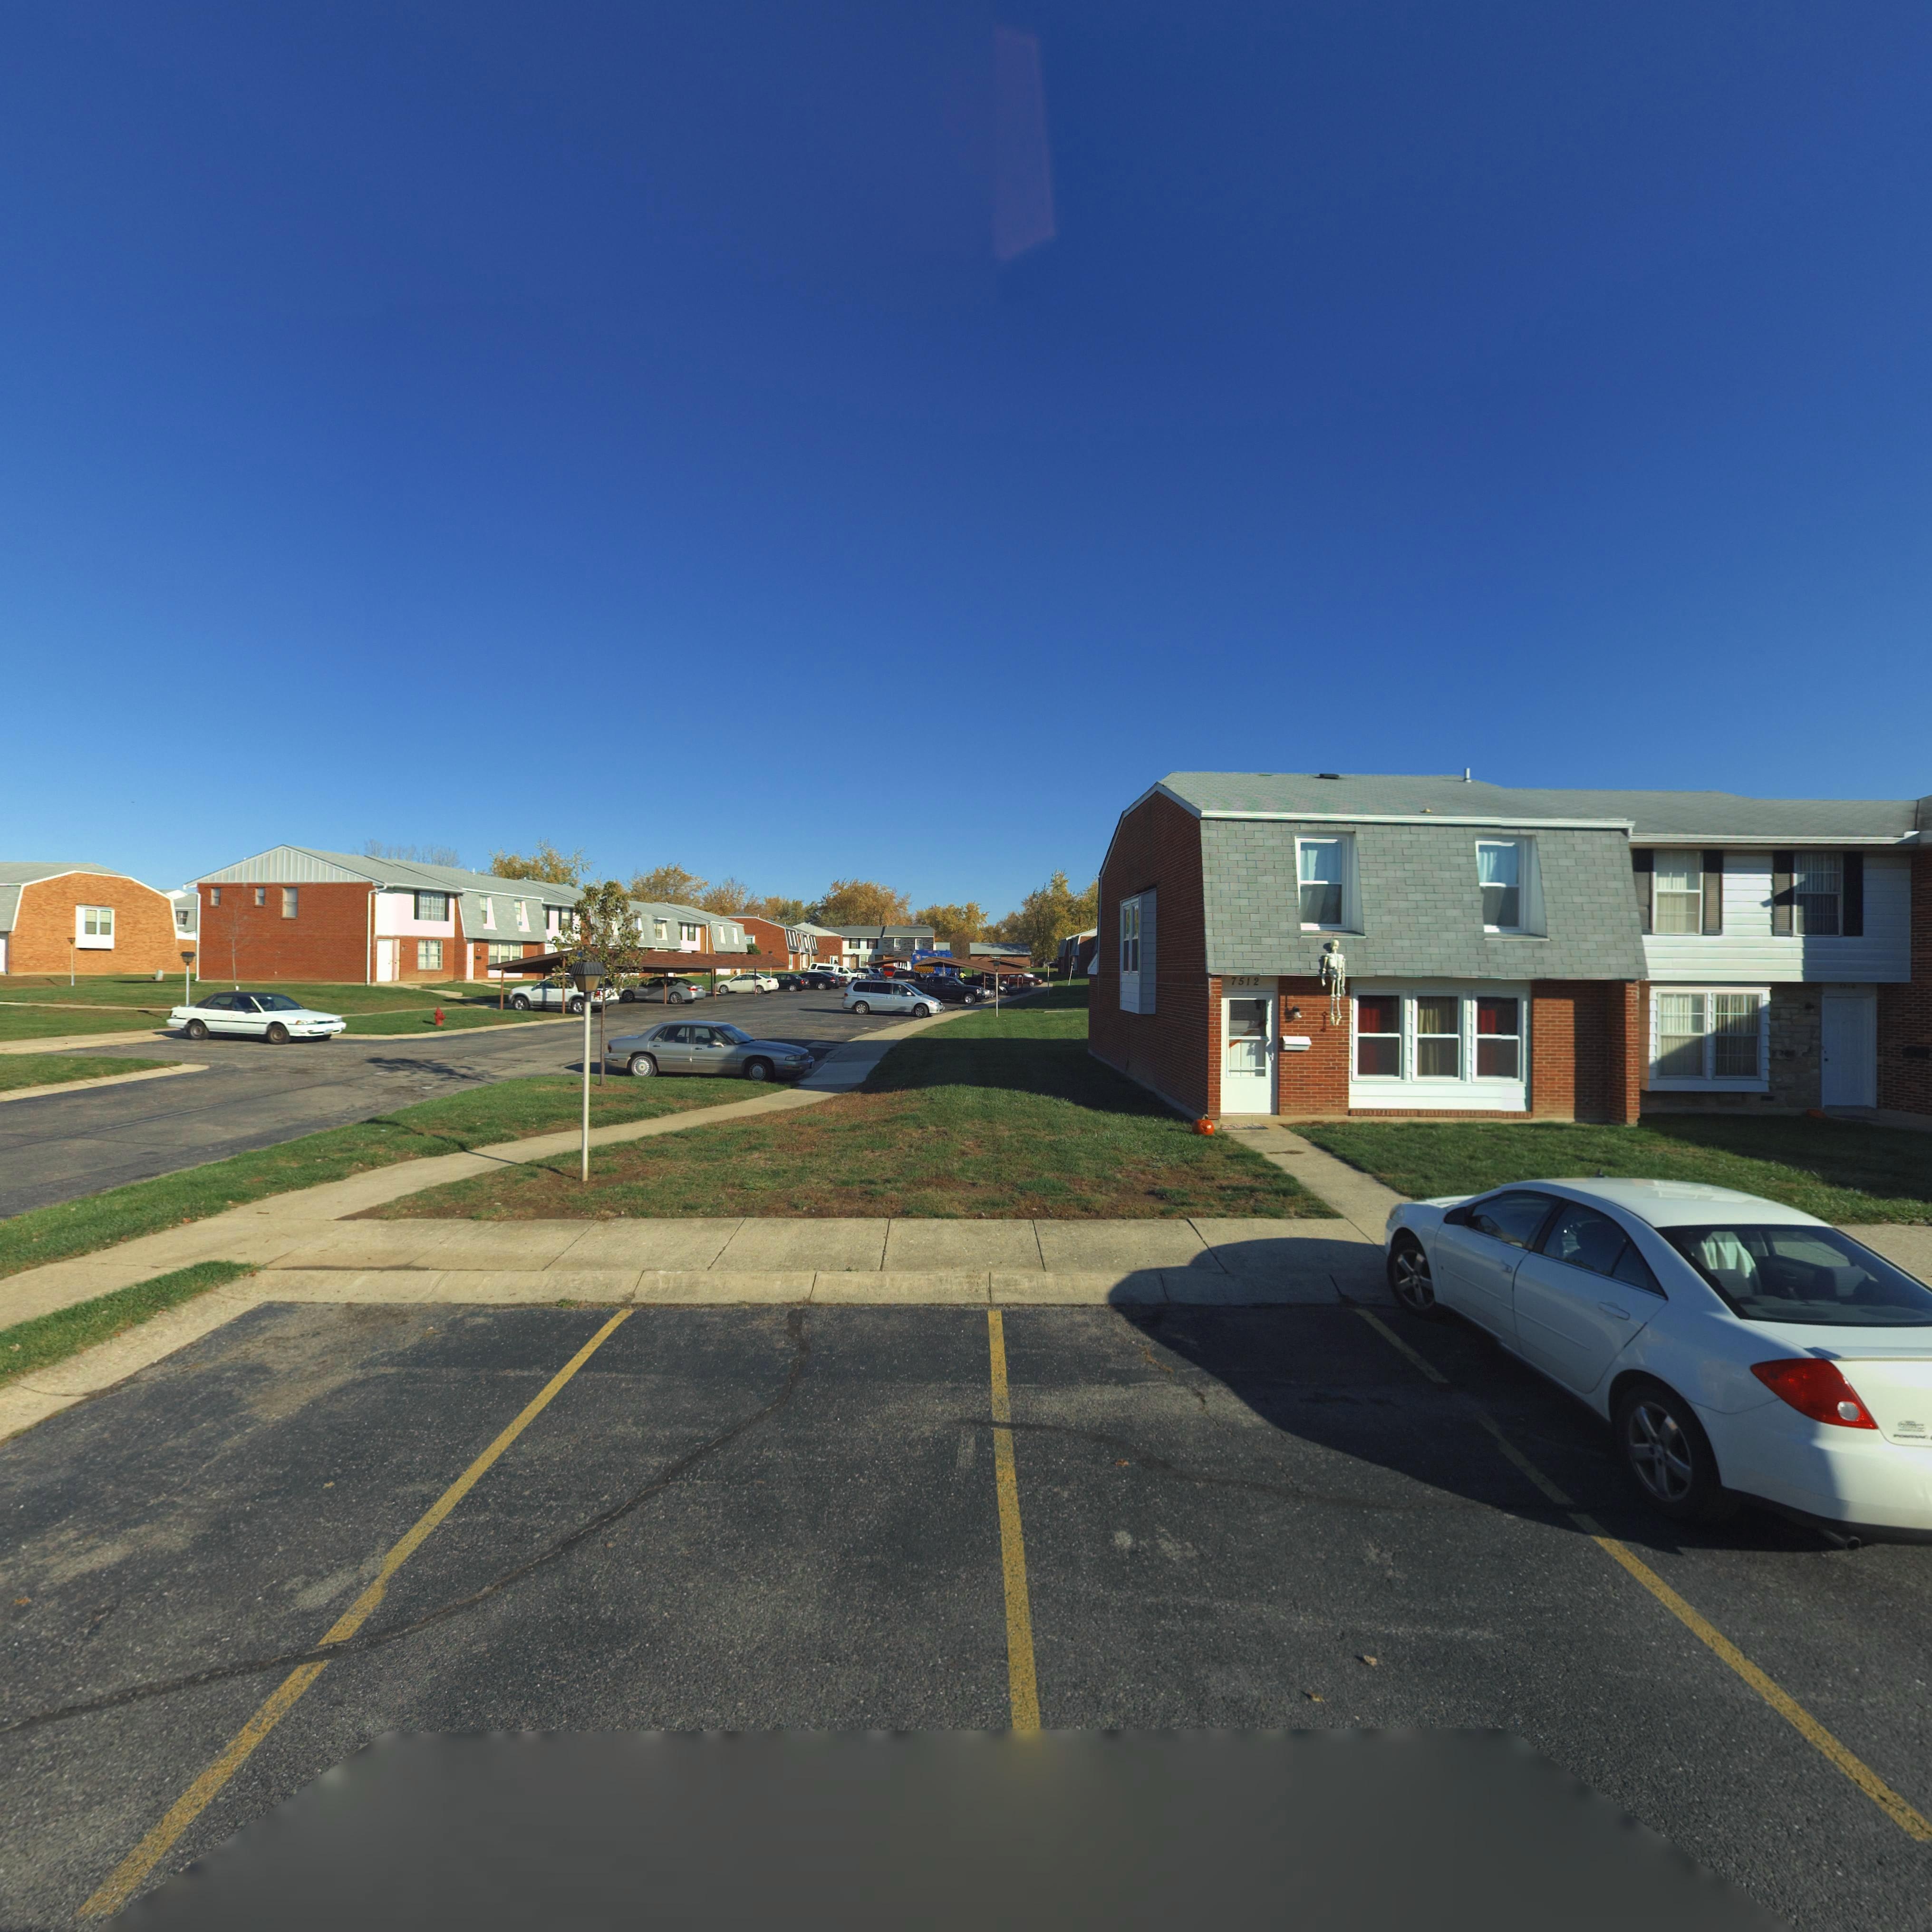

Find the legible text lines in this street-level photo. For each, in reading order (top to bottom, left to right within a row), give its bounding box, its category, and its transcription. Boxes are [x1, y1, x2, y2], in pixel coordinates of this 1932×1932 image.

[1230, 976, 1259, 985] StreetNumber: 7512
[1837, 983, 1856, 989] StreetNumber: 7510